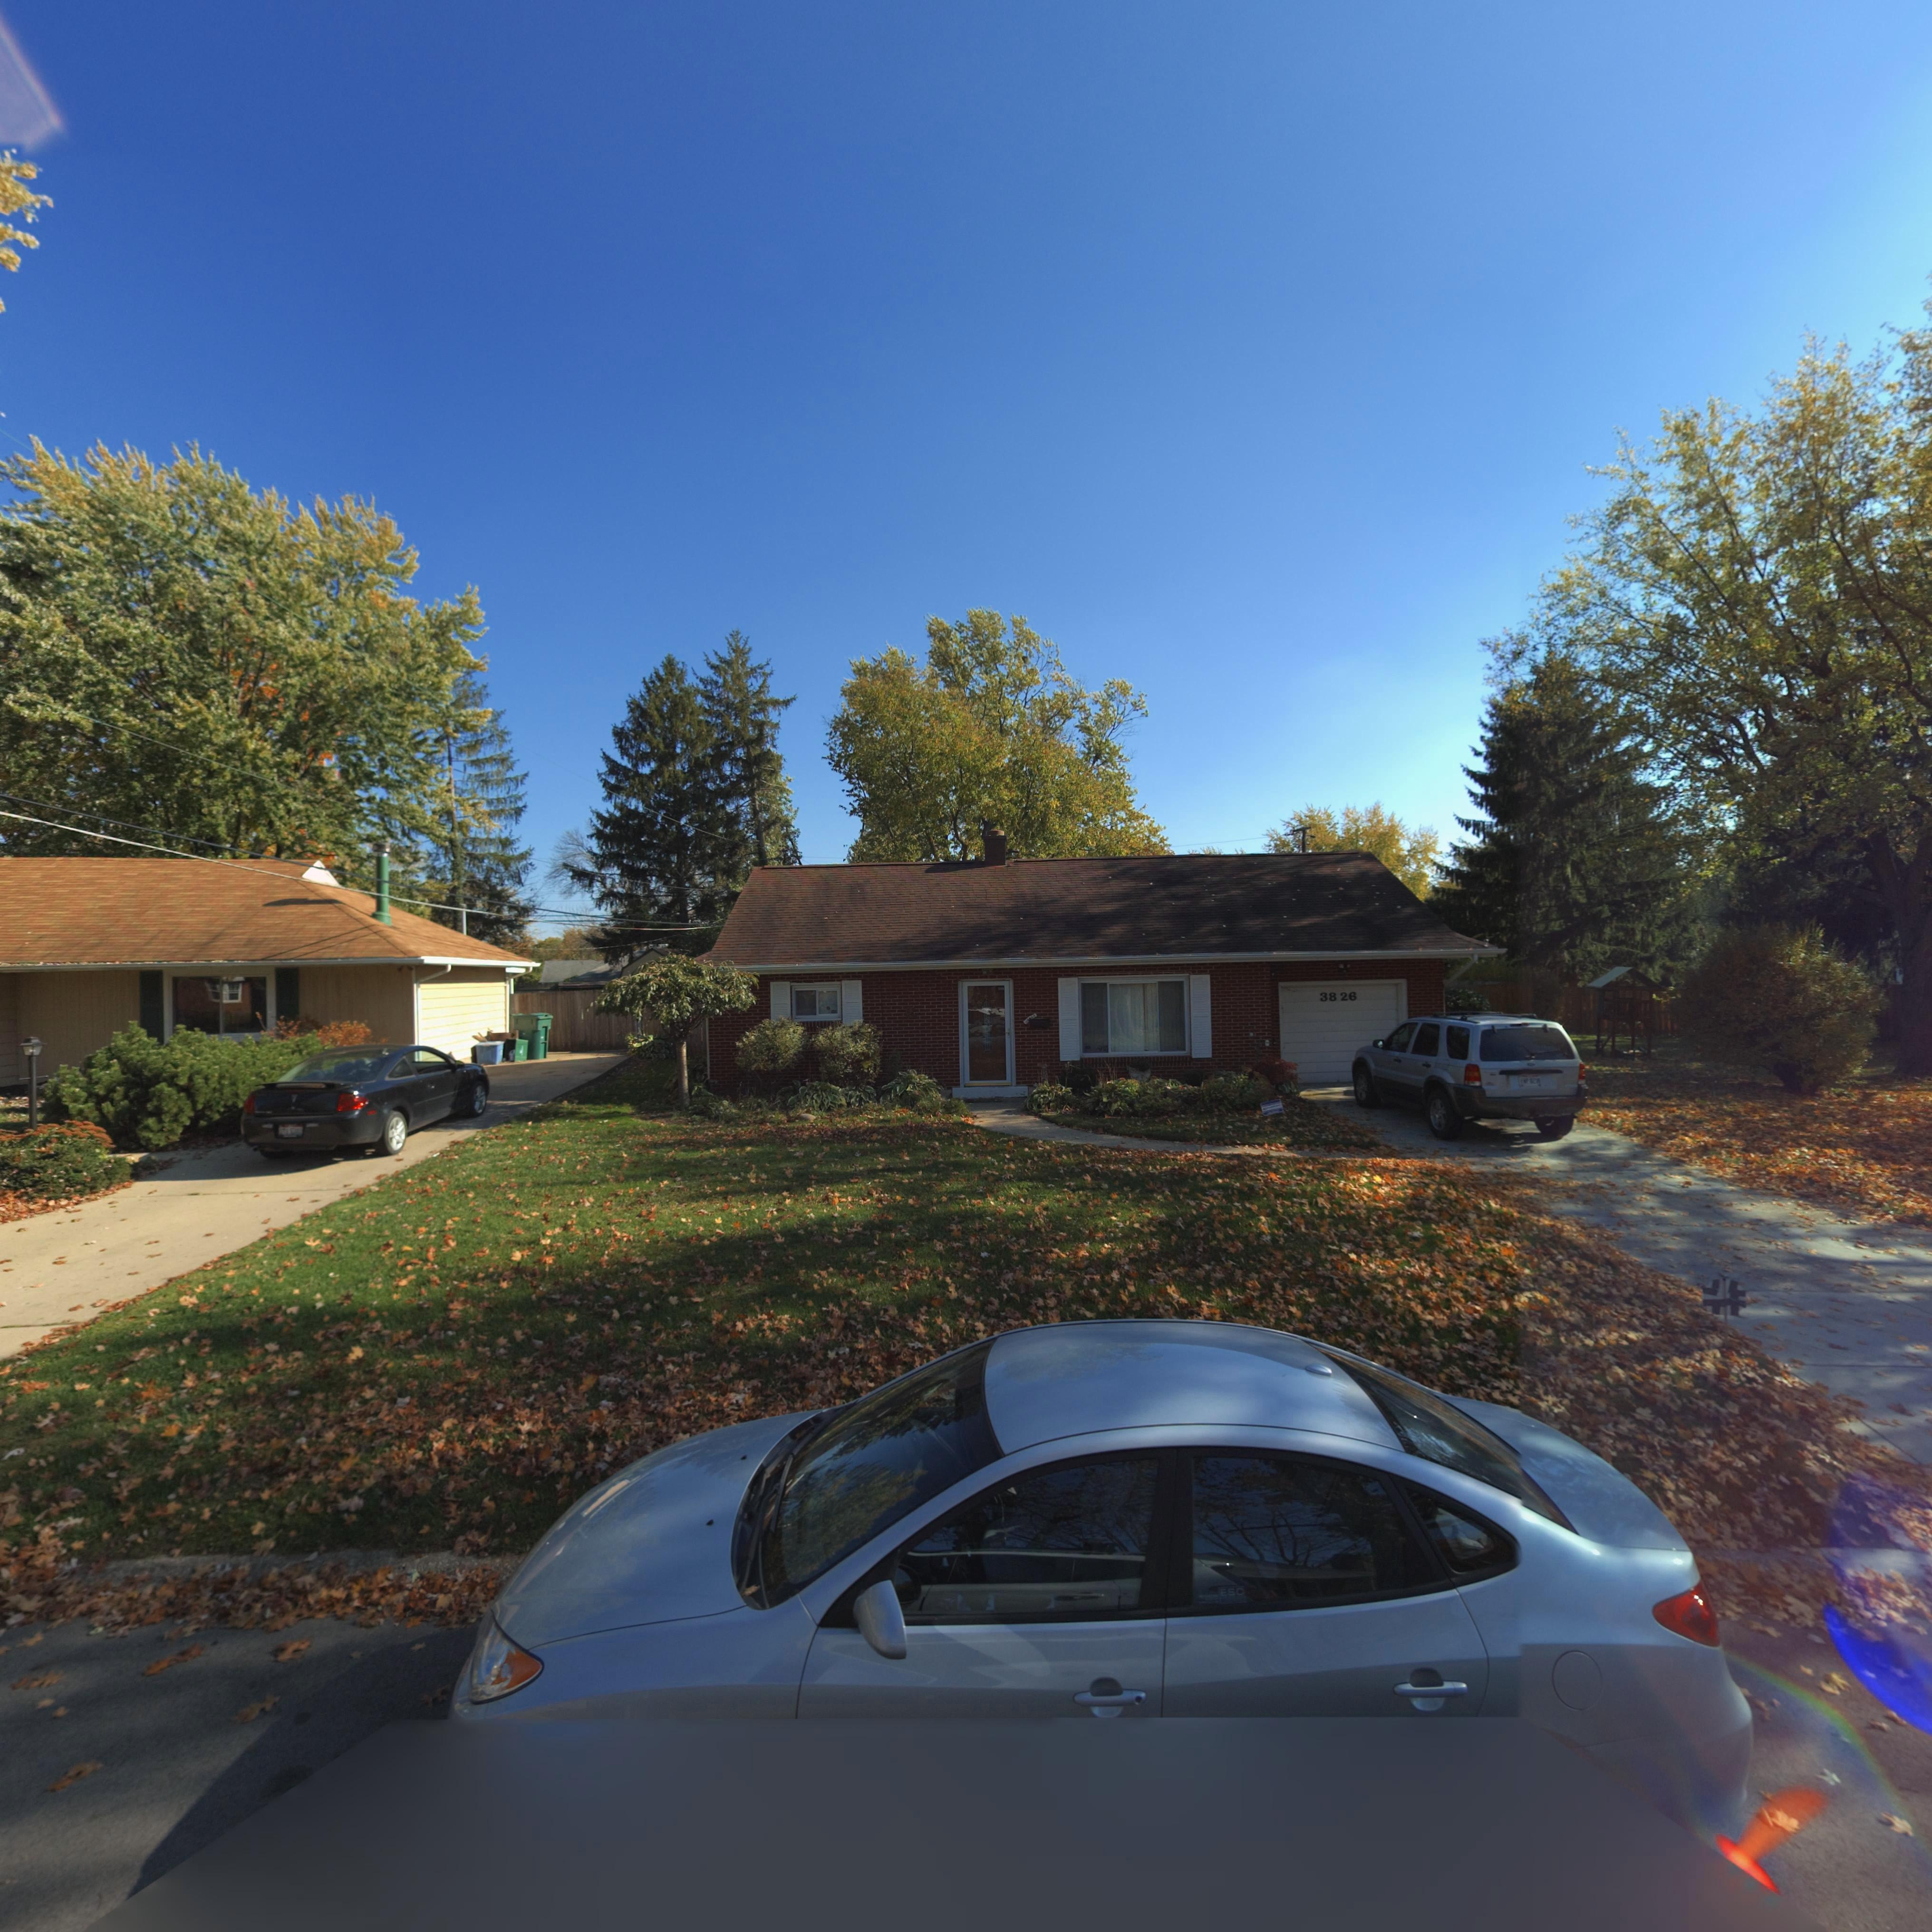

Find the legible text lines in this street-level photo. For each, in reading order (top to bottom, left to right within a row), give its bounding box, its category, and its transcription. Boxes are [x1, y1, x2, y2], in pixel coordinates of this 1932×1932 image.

[1319, 991, 1358, 1003] StreetNumber: 3826